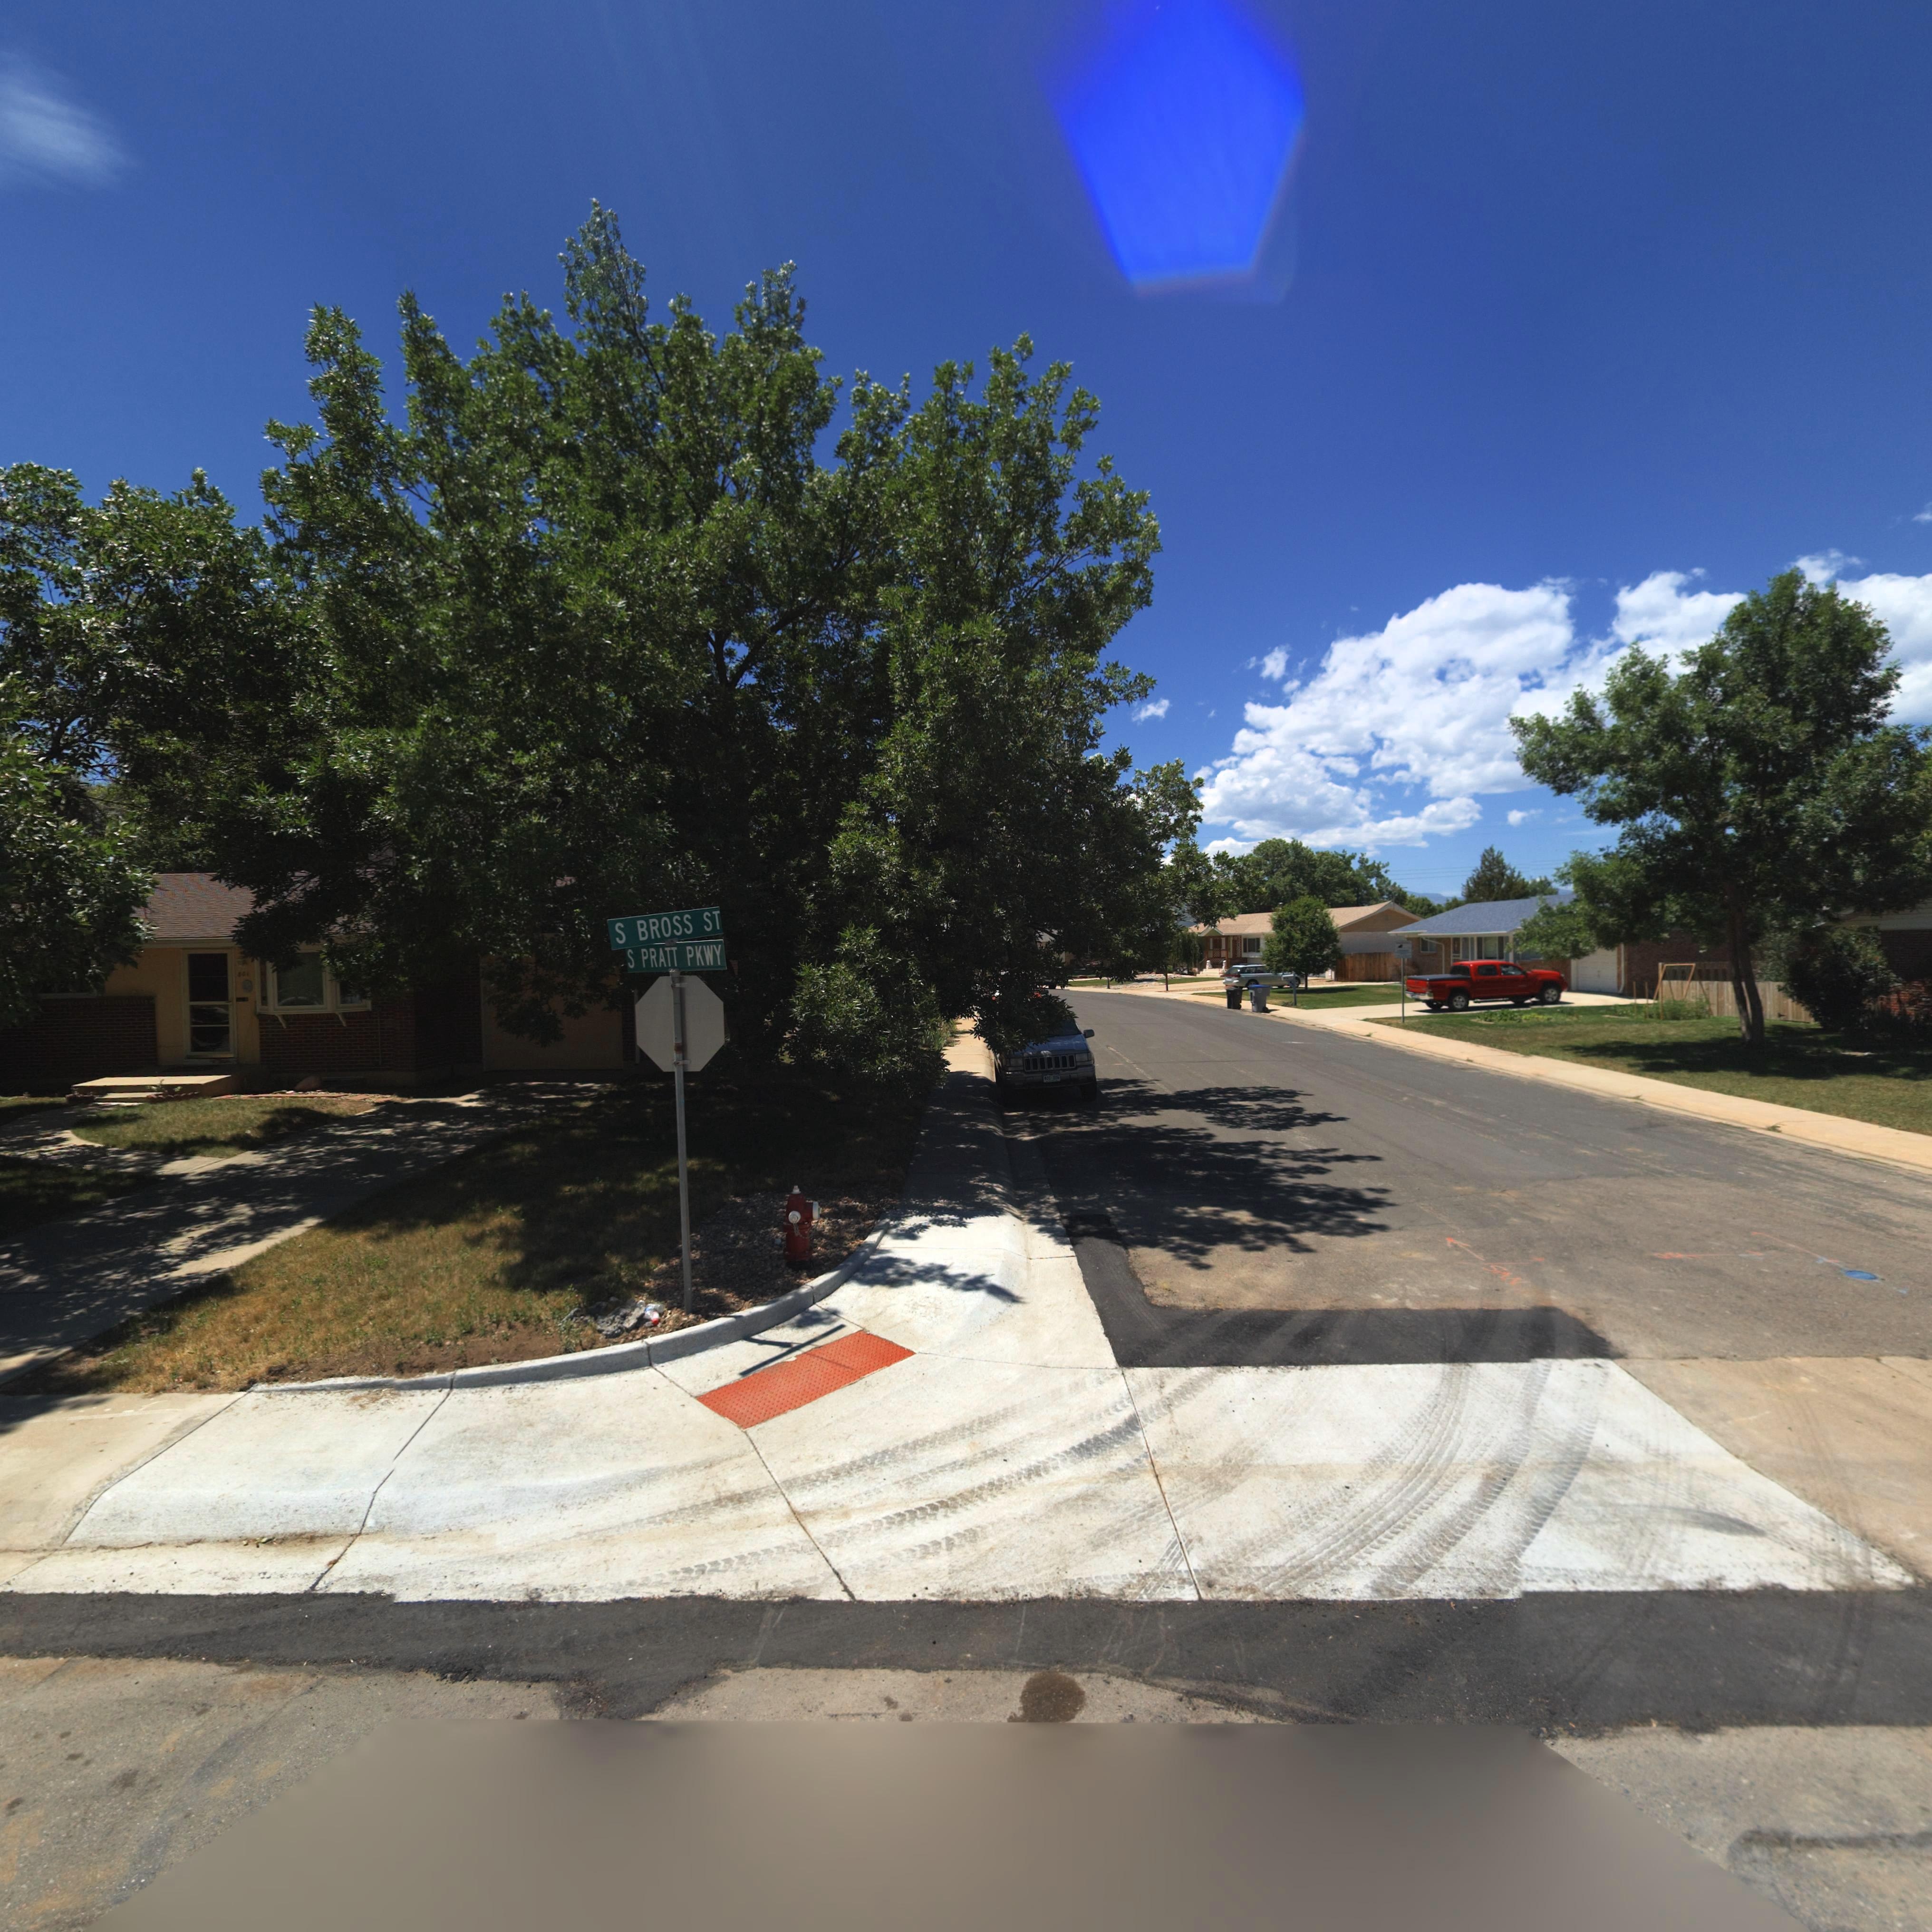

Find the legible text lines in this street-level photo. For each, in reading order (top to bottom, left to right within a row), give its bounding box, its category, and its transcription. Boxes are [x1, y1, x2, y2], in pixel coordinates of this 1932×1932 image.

[613, 909, 721, 945] StreetName: S BROSS ST
[627, 944, 722, 969] StreetName: PRATT PKWY
[237, 971, 249, 977] StreetNumber: 801